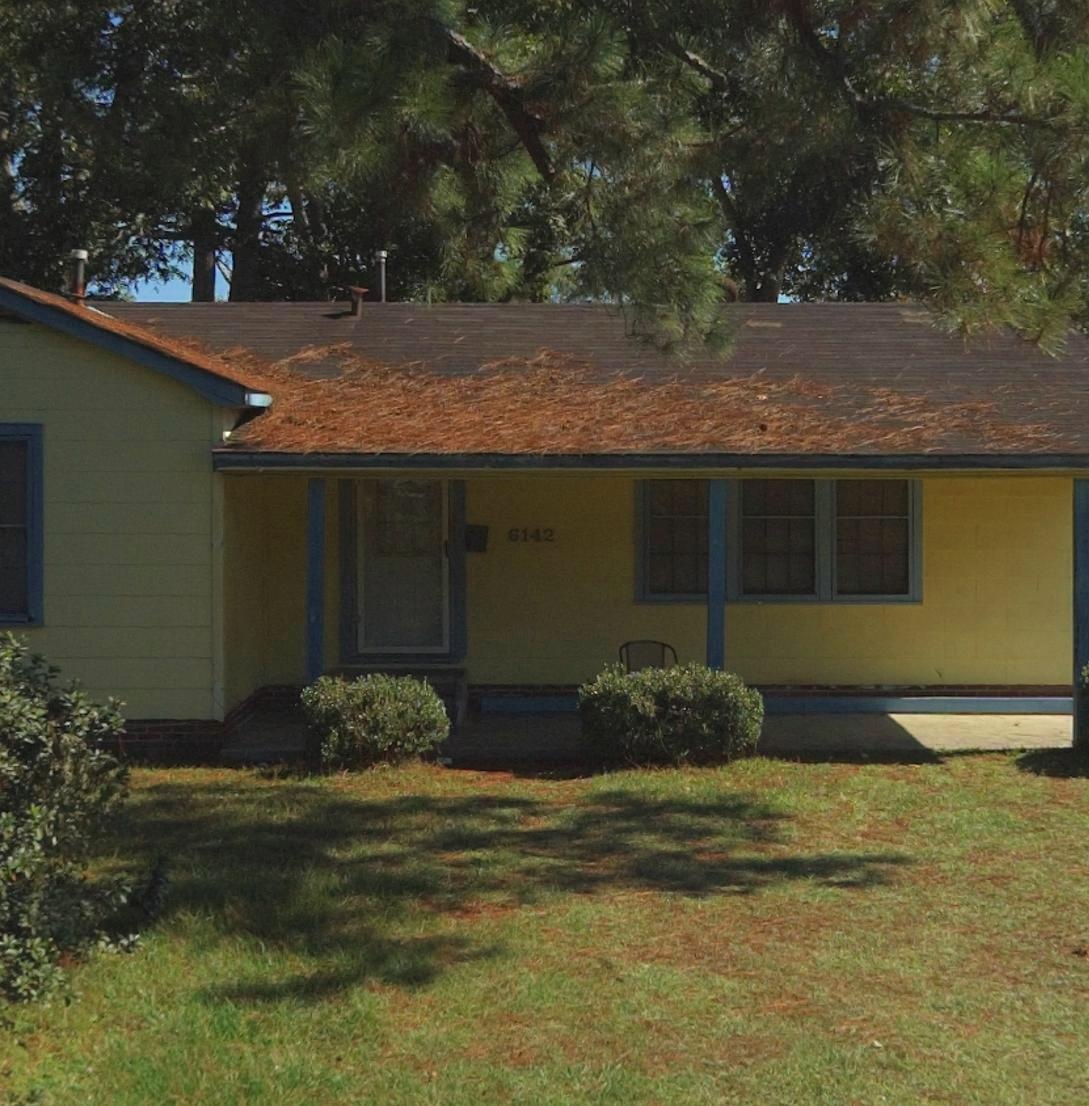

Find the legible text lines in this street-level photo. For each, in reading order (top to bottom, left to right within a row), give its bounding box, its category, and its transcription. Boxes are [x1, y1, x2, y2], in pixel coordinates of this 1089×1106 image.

[507, 527, 554, 543] StreetNumber: 6142